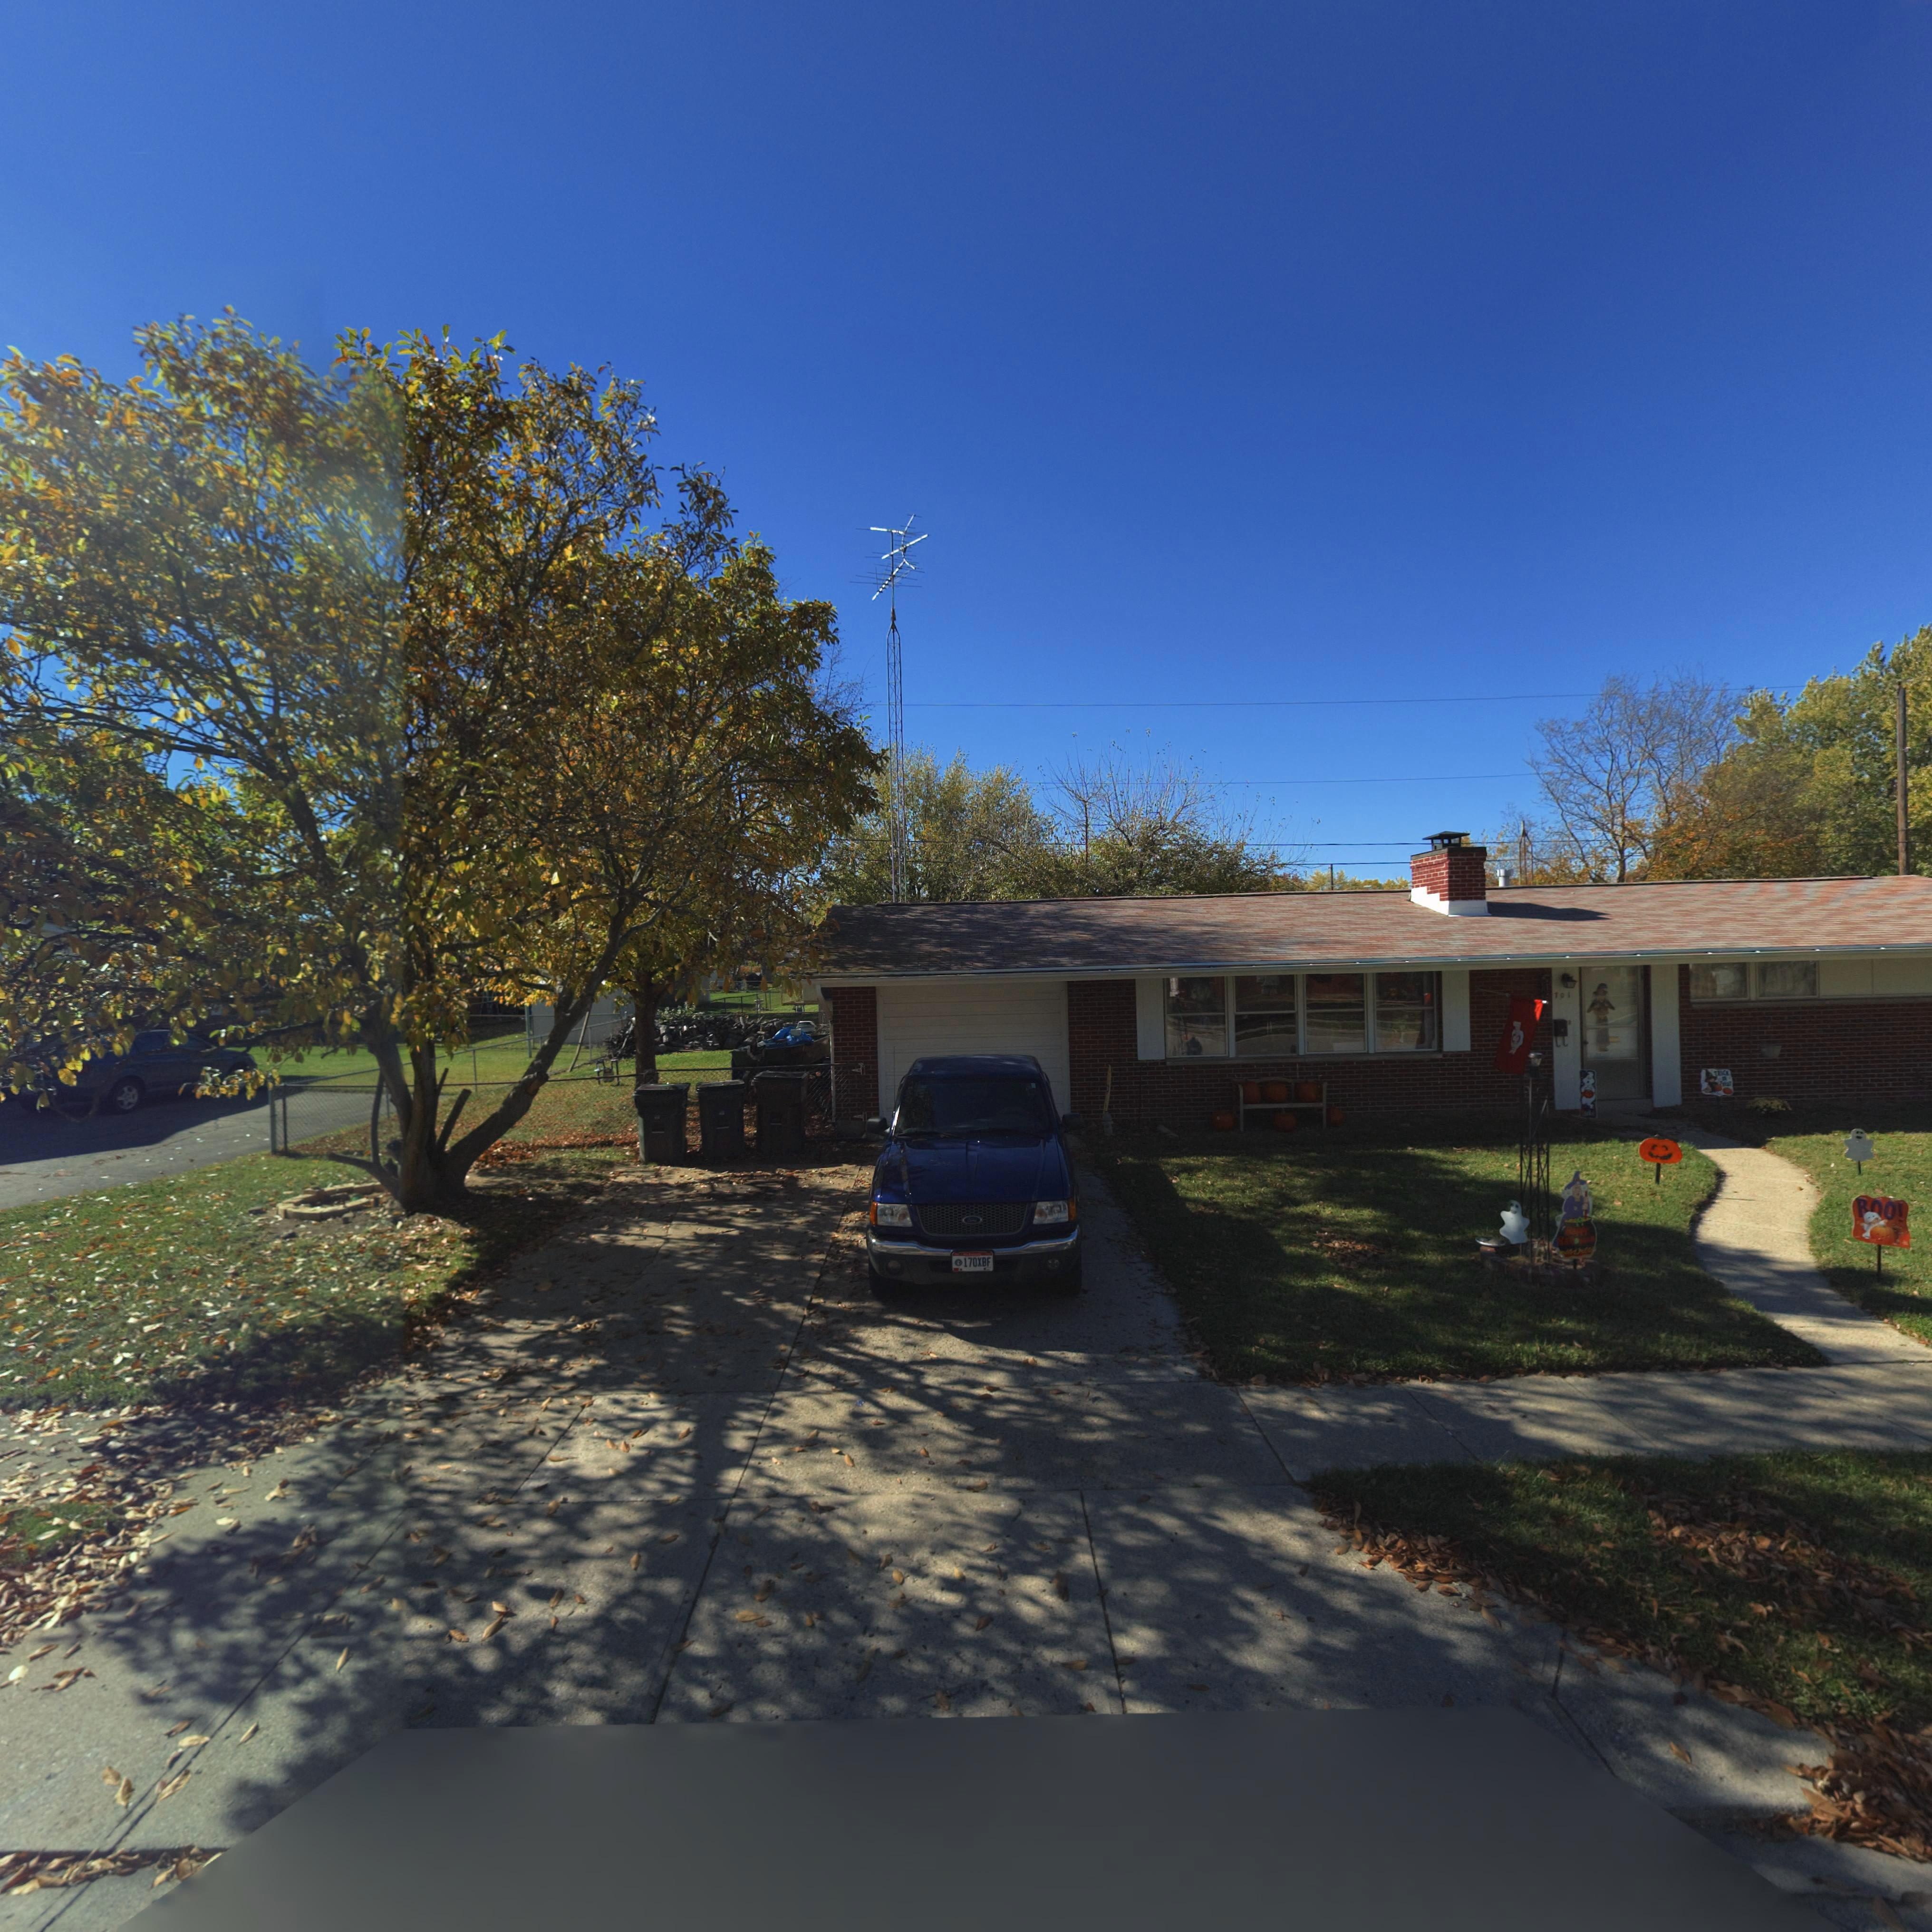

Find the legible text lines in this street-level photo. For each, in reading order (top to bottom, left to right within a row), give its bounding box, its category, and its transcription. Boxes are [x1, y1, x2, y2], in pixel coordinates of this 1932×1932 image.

[1553, 991, 1571, 999] StreetNumber: 701